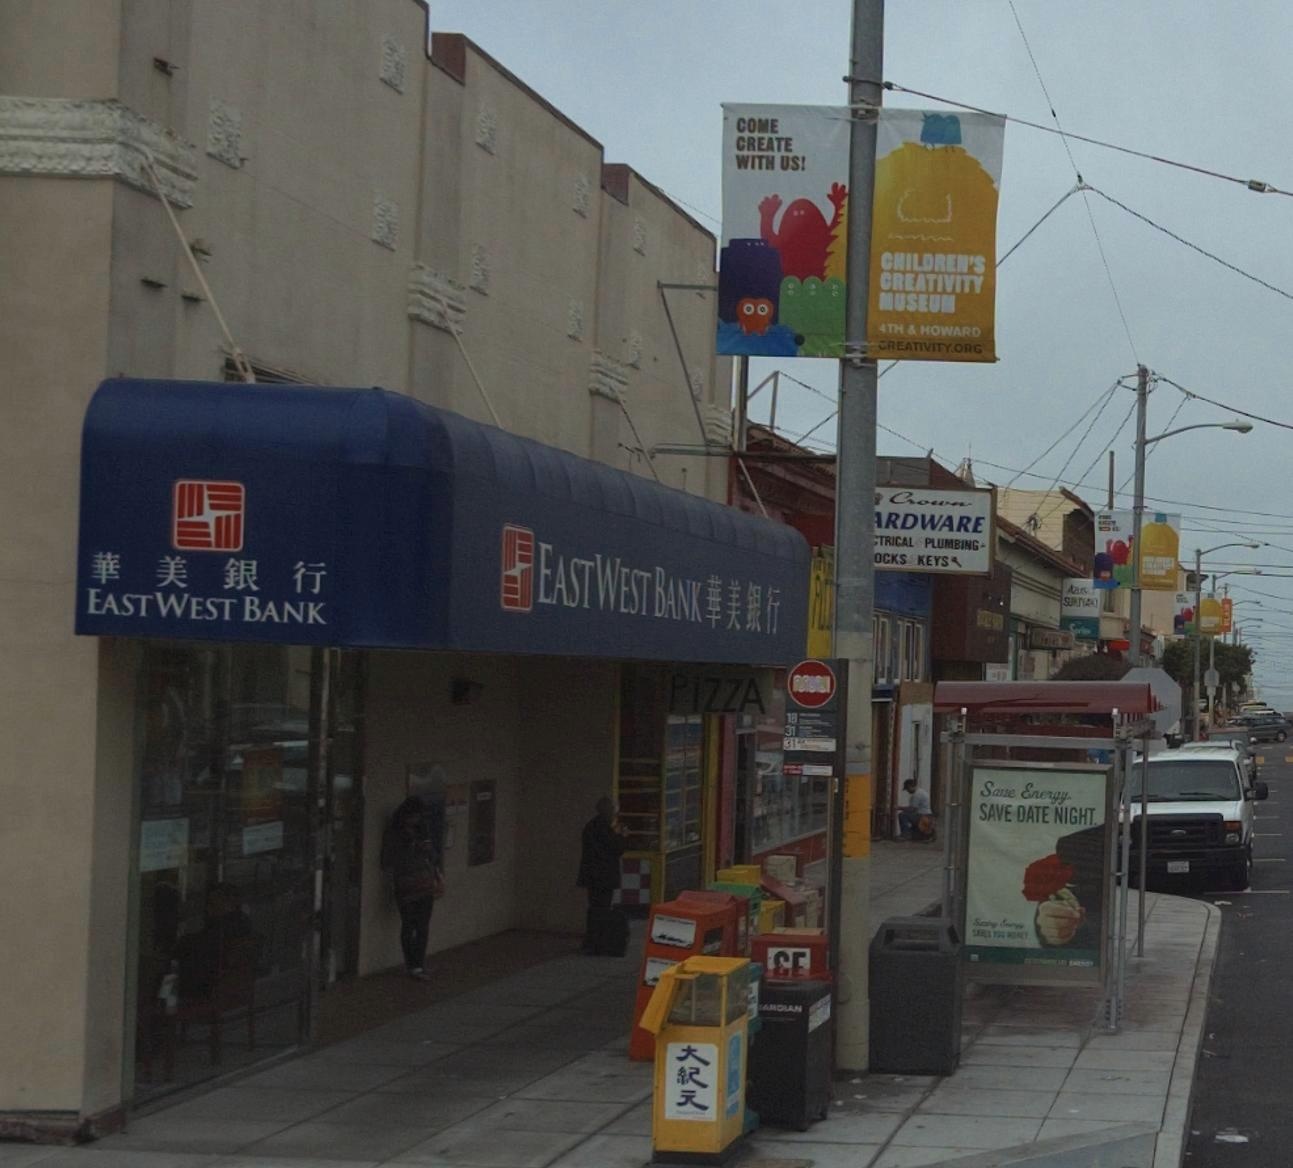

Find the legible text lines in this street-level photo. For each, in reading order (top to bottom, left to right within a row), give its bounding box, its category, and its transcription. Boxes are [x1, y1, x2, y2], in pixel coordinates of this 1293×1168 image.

[732, 112, 783, 138] None: COME
[733, 134, 797, 158] None: CREATE
[731, 150, 809, 176] None: WITH US!
[876, 245, 991, 280] None: CHILDREN'S
[871, 269, 991, 299] None: CREATIVITY
[873, 287, 959, 318] None: MUSEUM
[874, 319, 985, 343] None: 4TH & HOWARD
[874, 335, 986, 355] None: CREATIVITY.ORG
[884, 487, 977, 510] BusinessName: Crown
[882, 507, 989, 539] BusinessName: RDWARE
[875, 531, 985, 554] None: TRICAL PLUMBING
[871, 550, 953, 569] None: OCKS KEYS
[531, 538, 709, 630] BusinessName: EASTWESTBANK
[82, 582, 331, 632] BusinessName: EASTWESTBANK
[657, 668, 770, 720] None: PIZZA
[783, 723, 798, 739] None: 31
[783, 711, 800, 725] None: 13
[782, 736, 799, 753] None: 31
[976, 776, 1074, 809] None: Save Energy
[976, 800, 1100, 828] None: SAVE DATE NIGHT